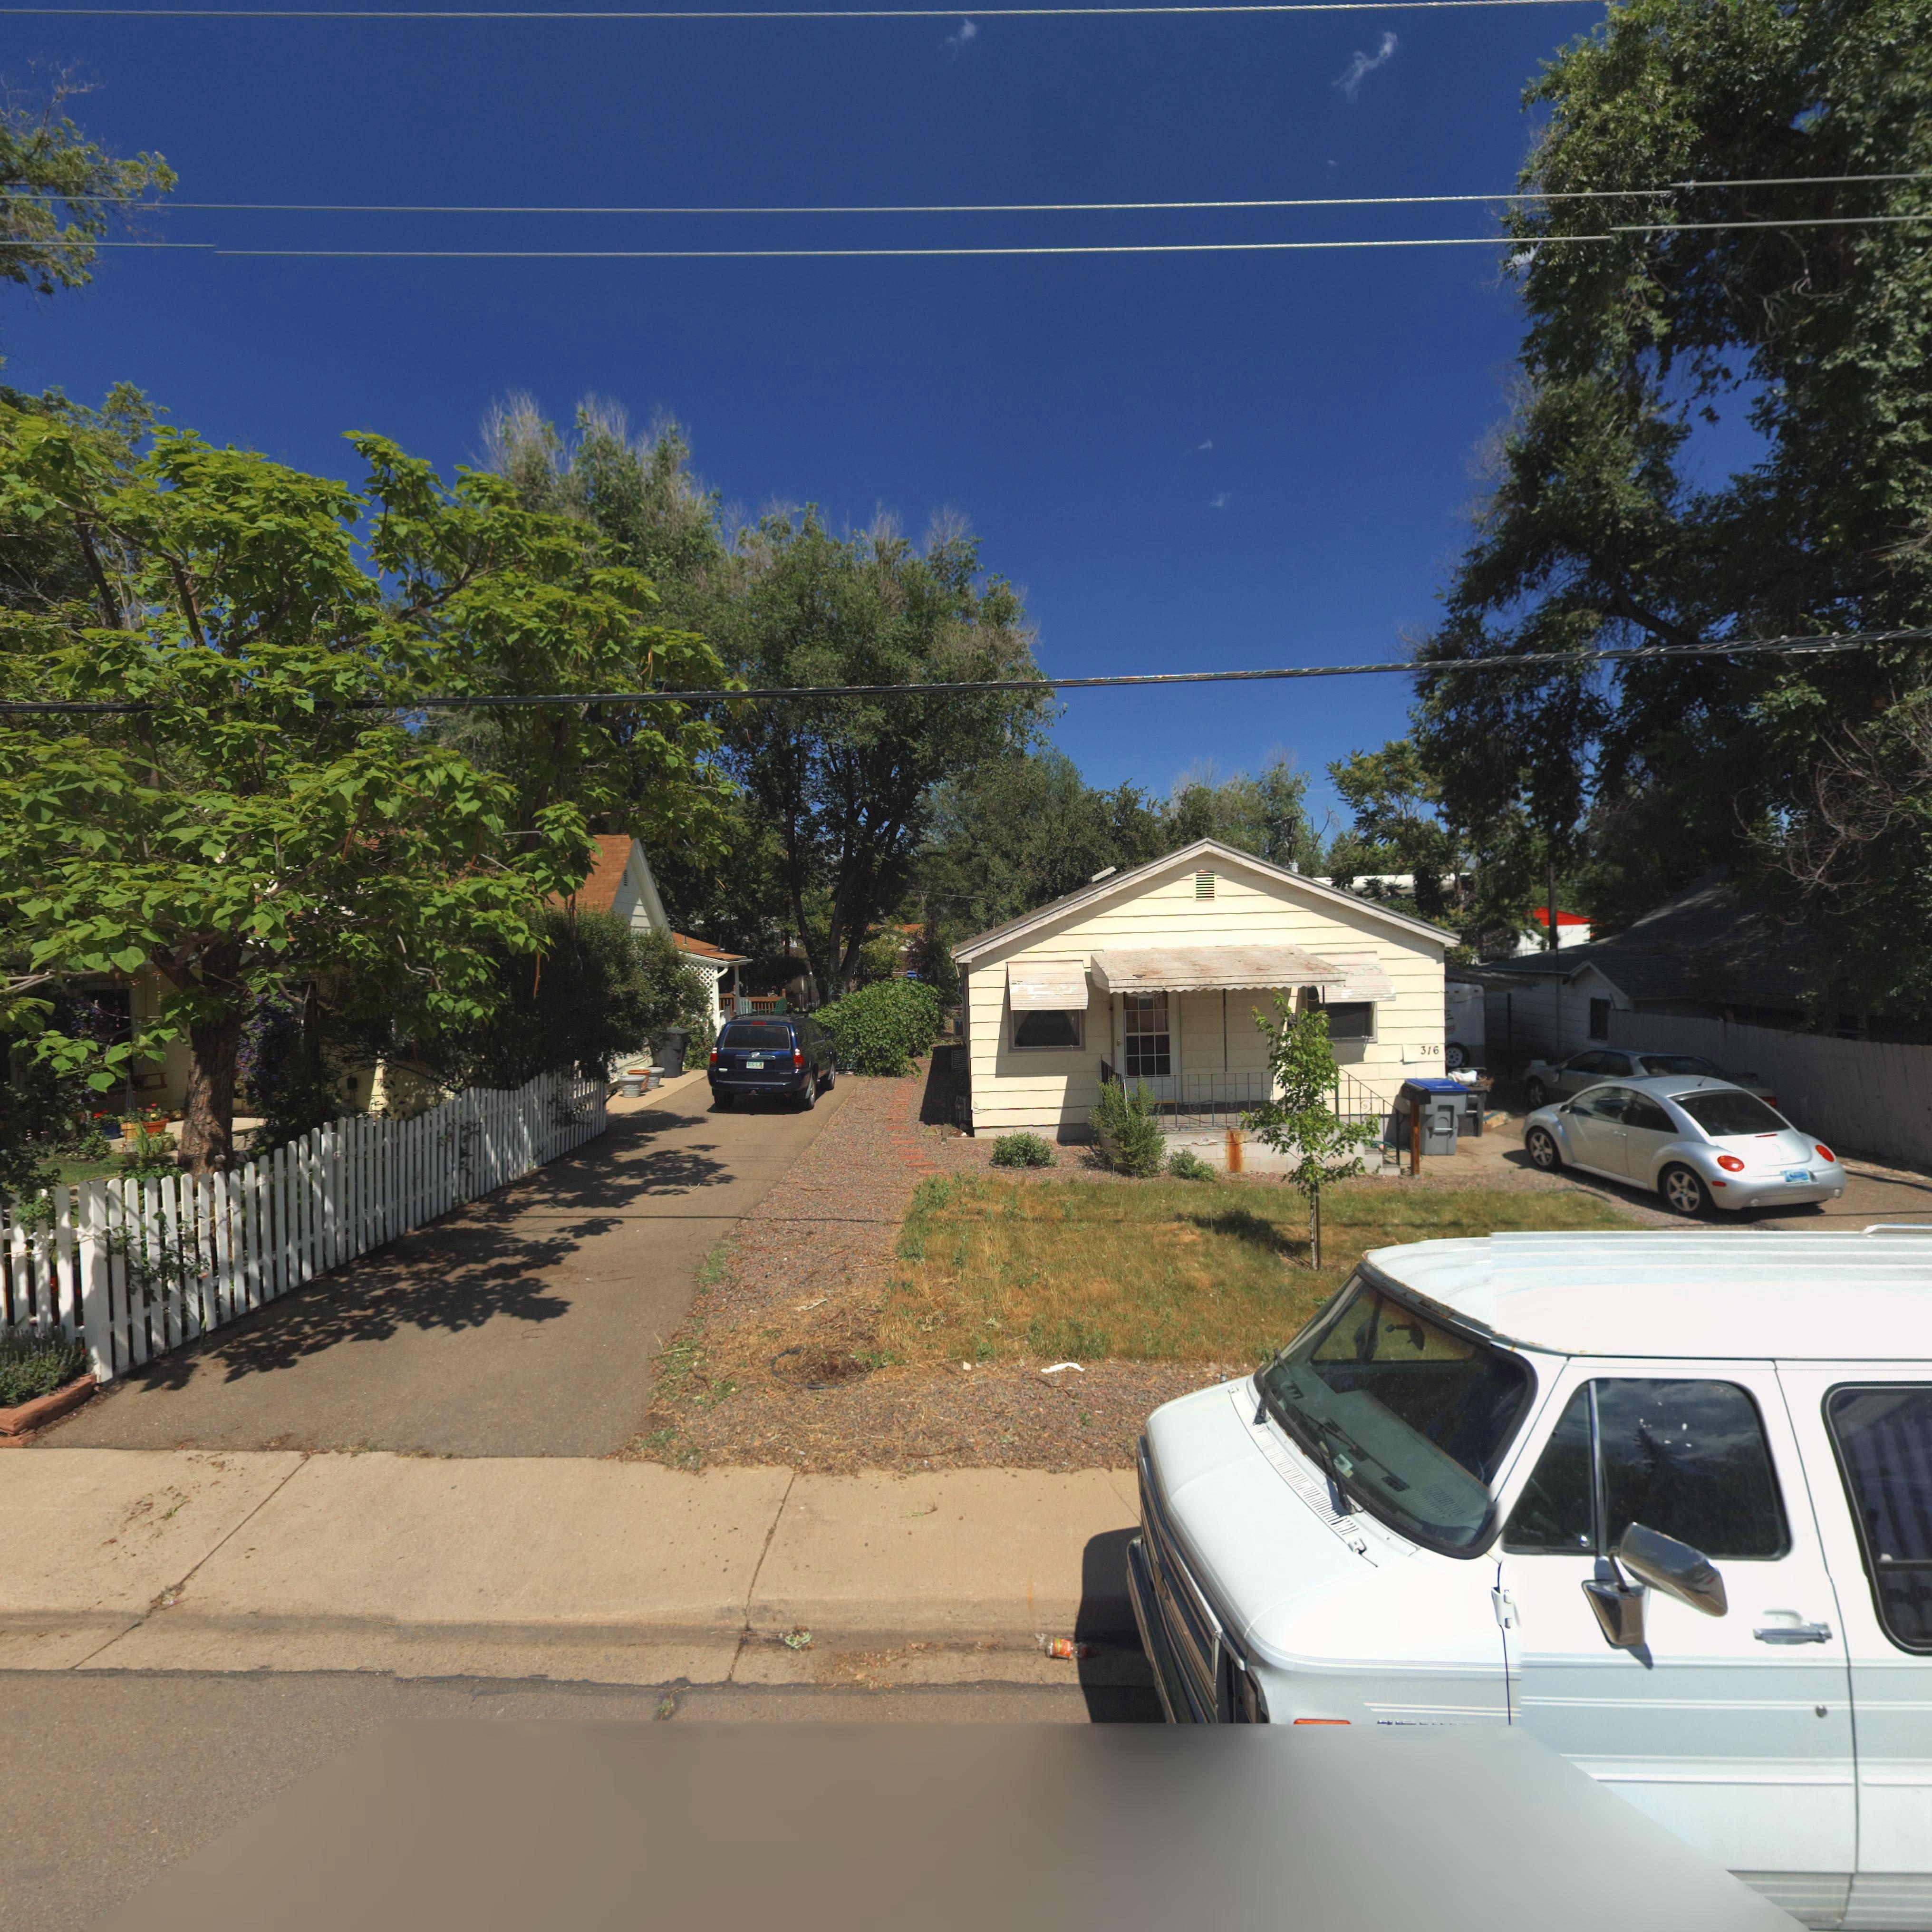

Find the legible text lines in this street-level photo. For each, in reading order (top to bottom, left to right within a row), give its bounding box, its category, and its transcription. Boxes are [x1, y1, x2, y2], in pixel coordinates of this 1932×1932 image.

[1420, 1045, 1439, 1055] StreetNumber: 316